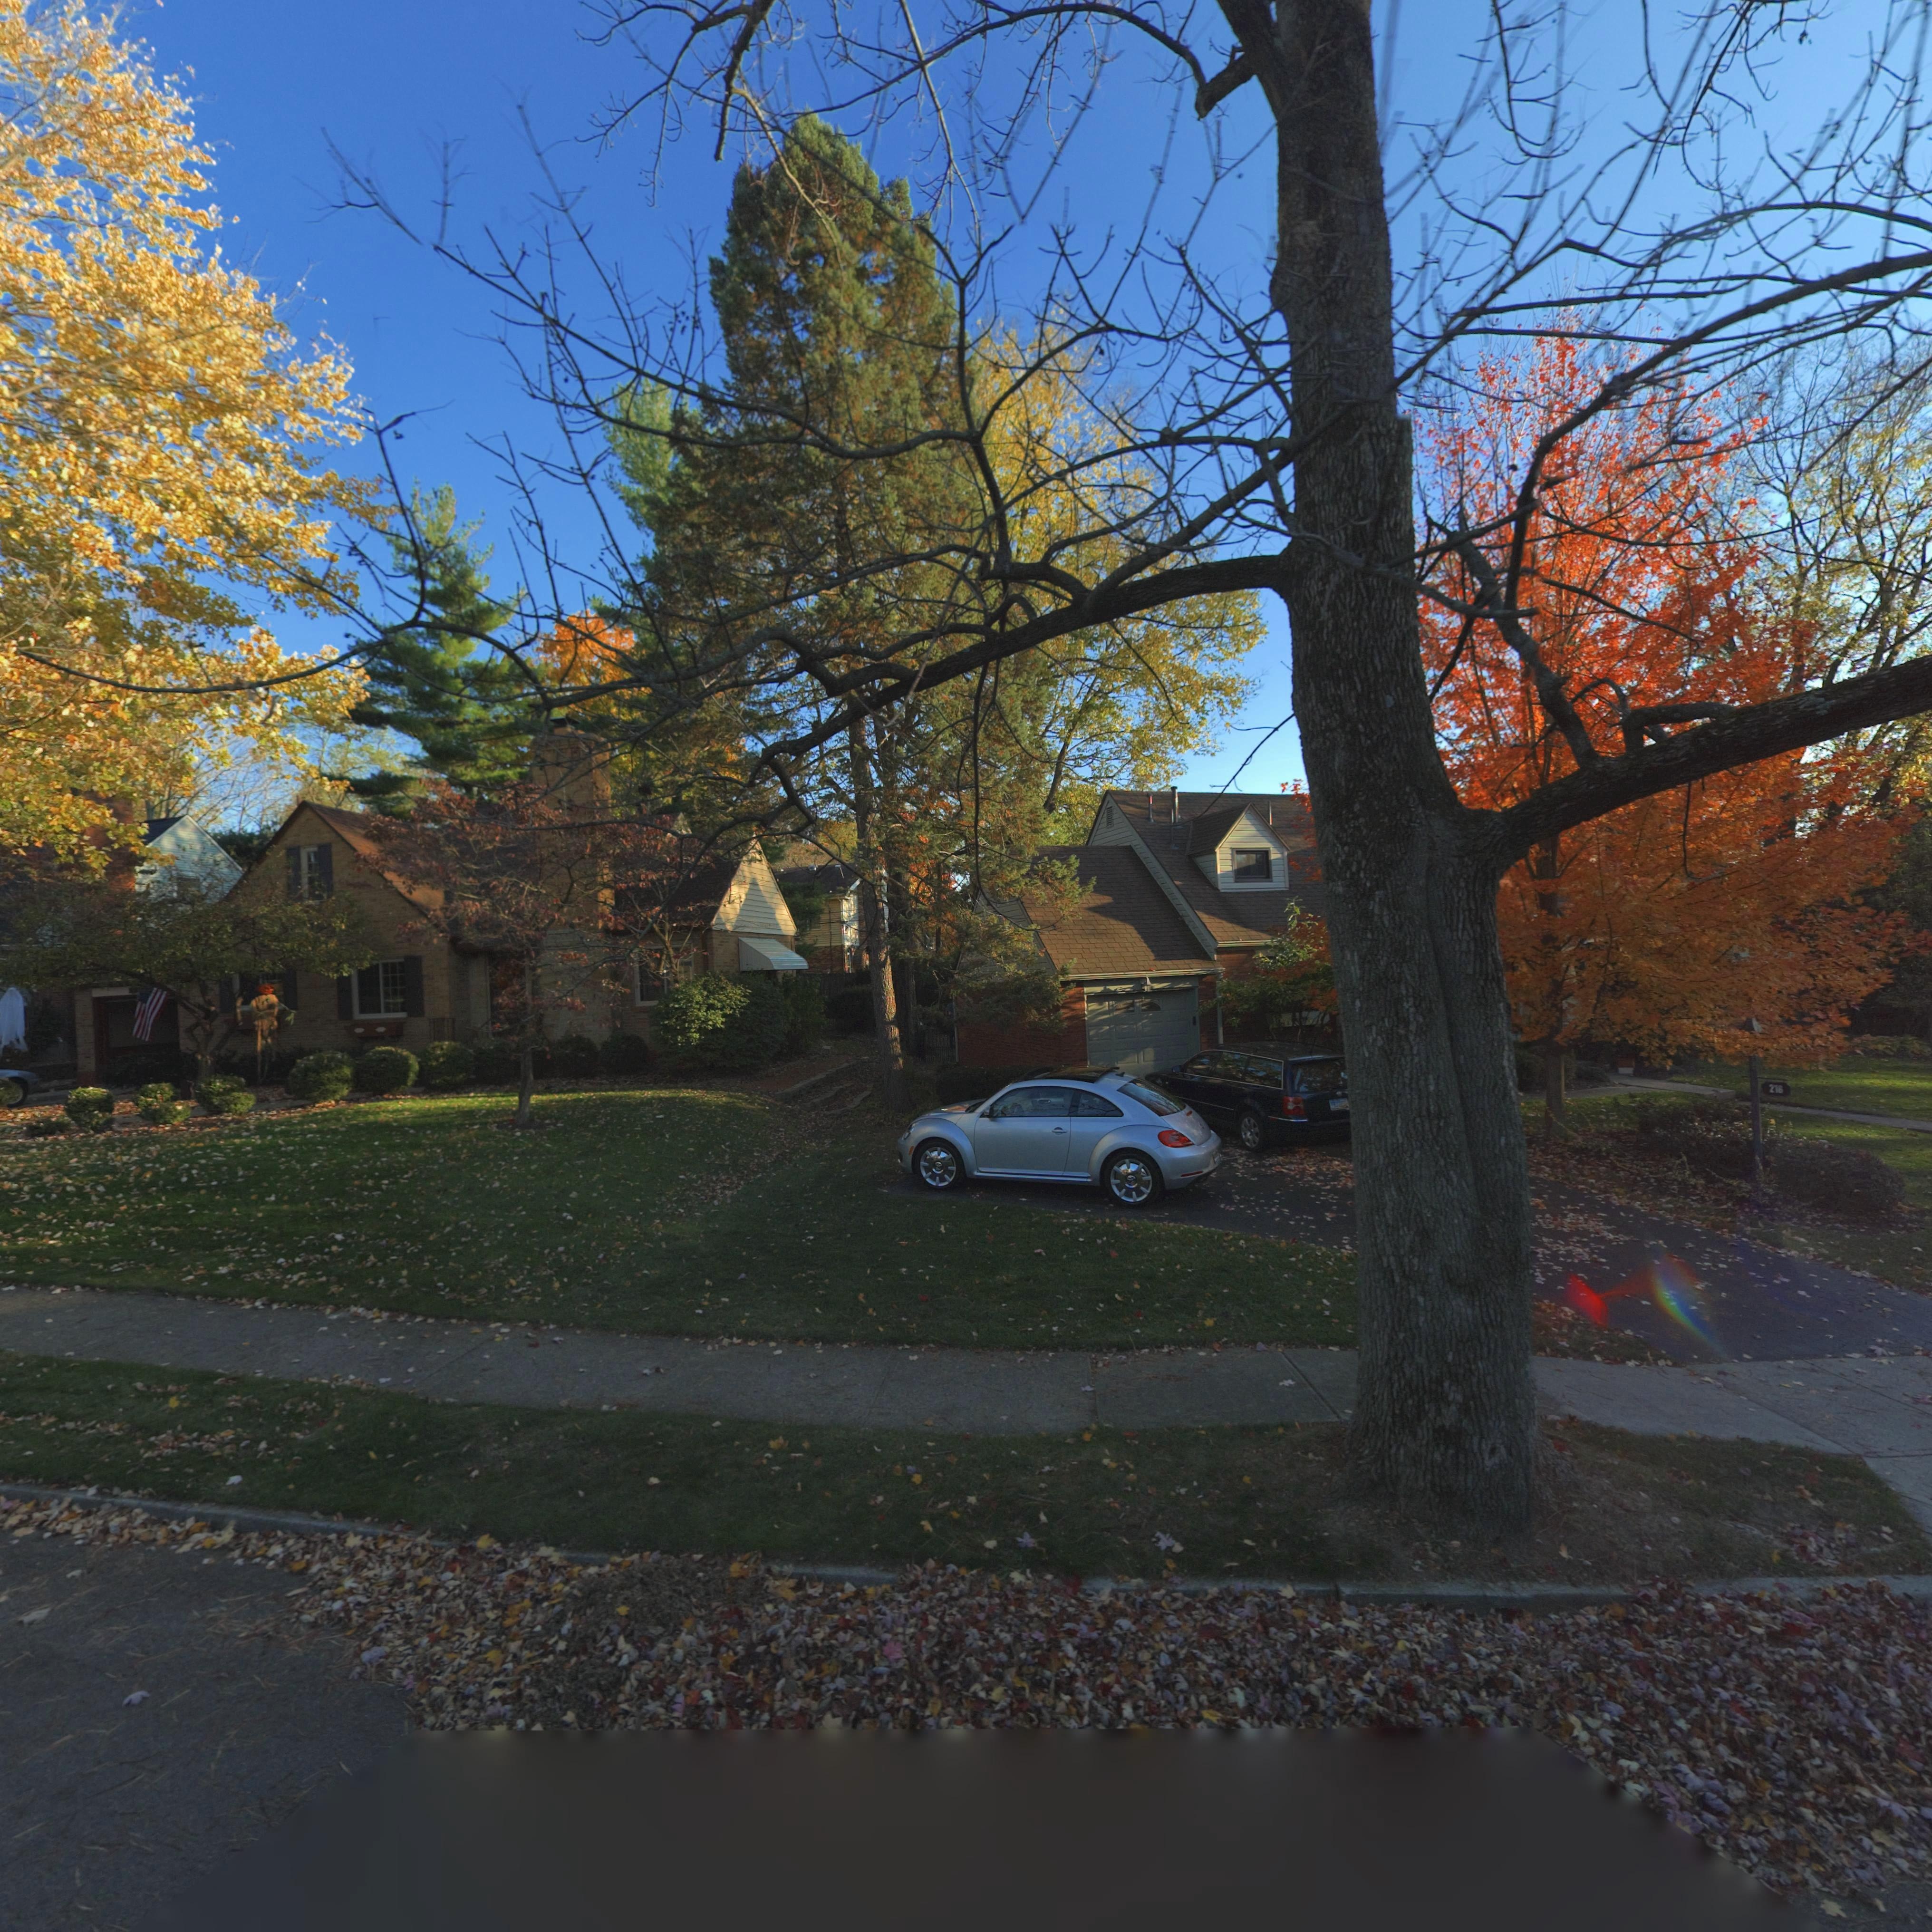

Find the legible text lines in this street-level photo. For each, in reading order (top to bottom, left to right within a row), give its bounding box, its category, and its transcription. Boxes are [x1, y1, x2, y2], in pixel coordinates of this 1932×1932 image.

[1768, 1083, 1785, 1095] StreetNumber: 216